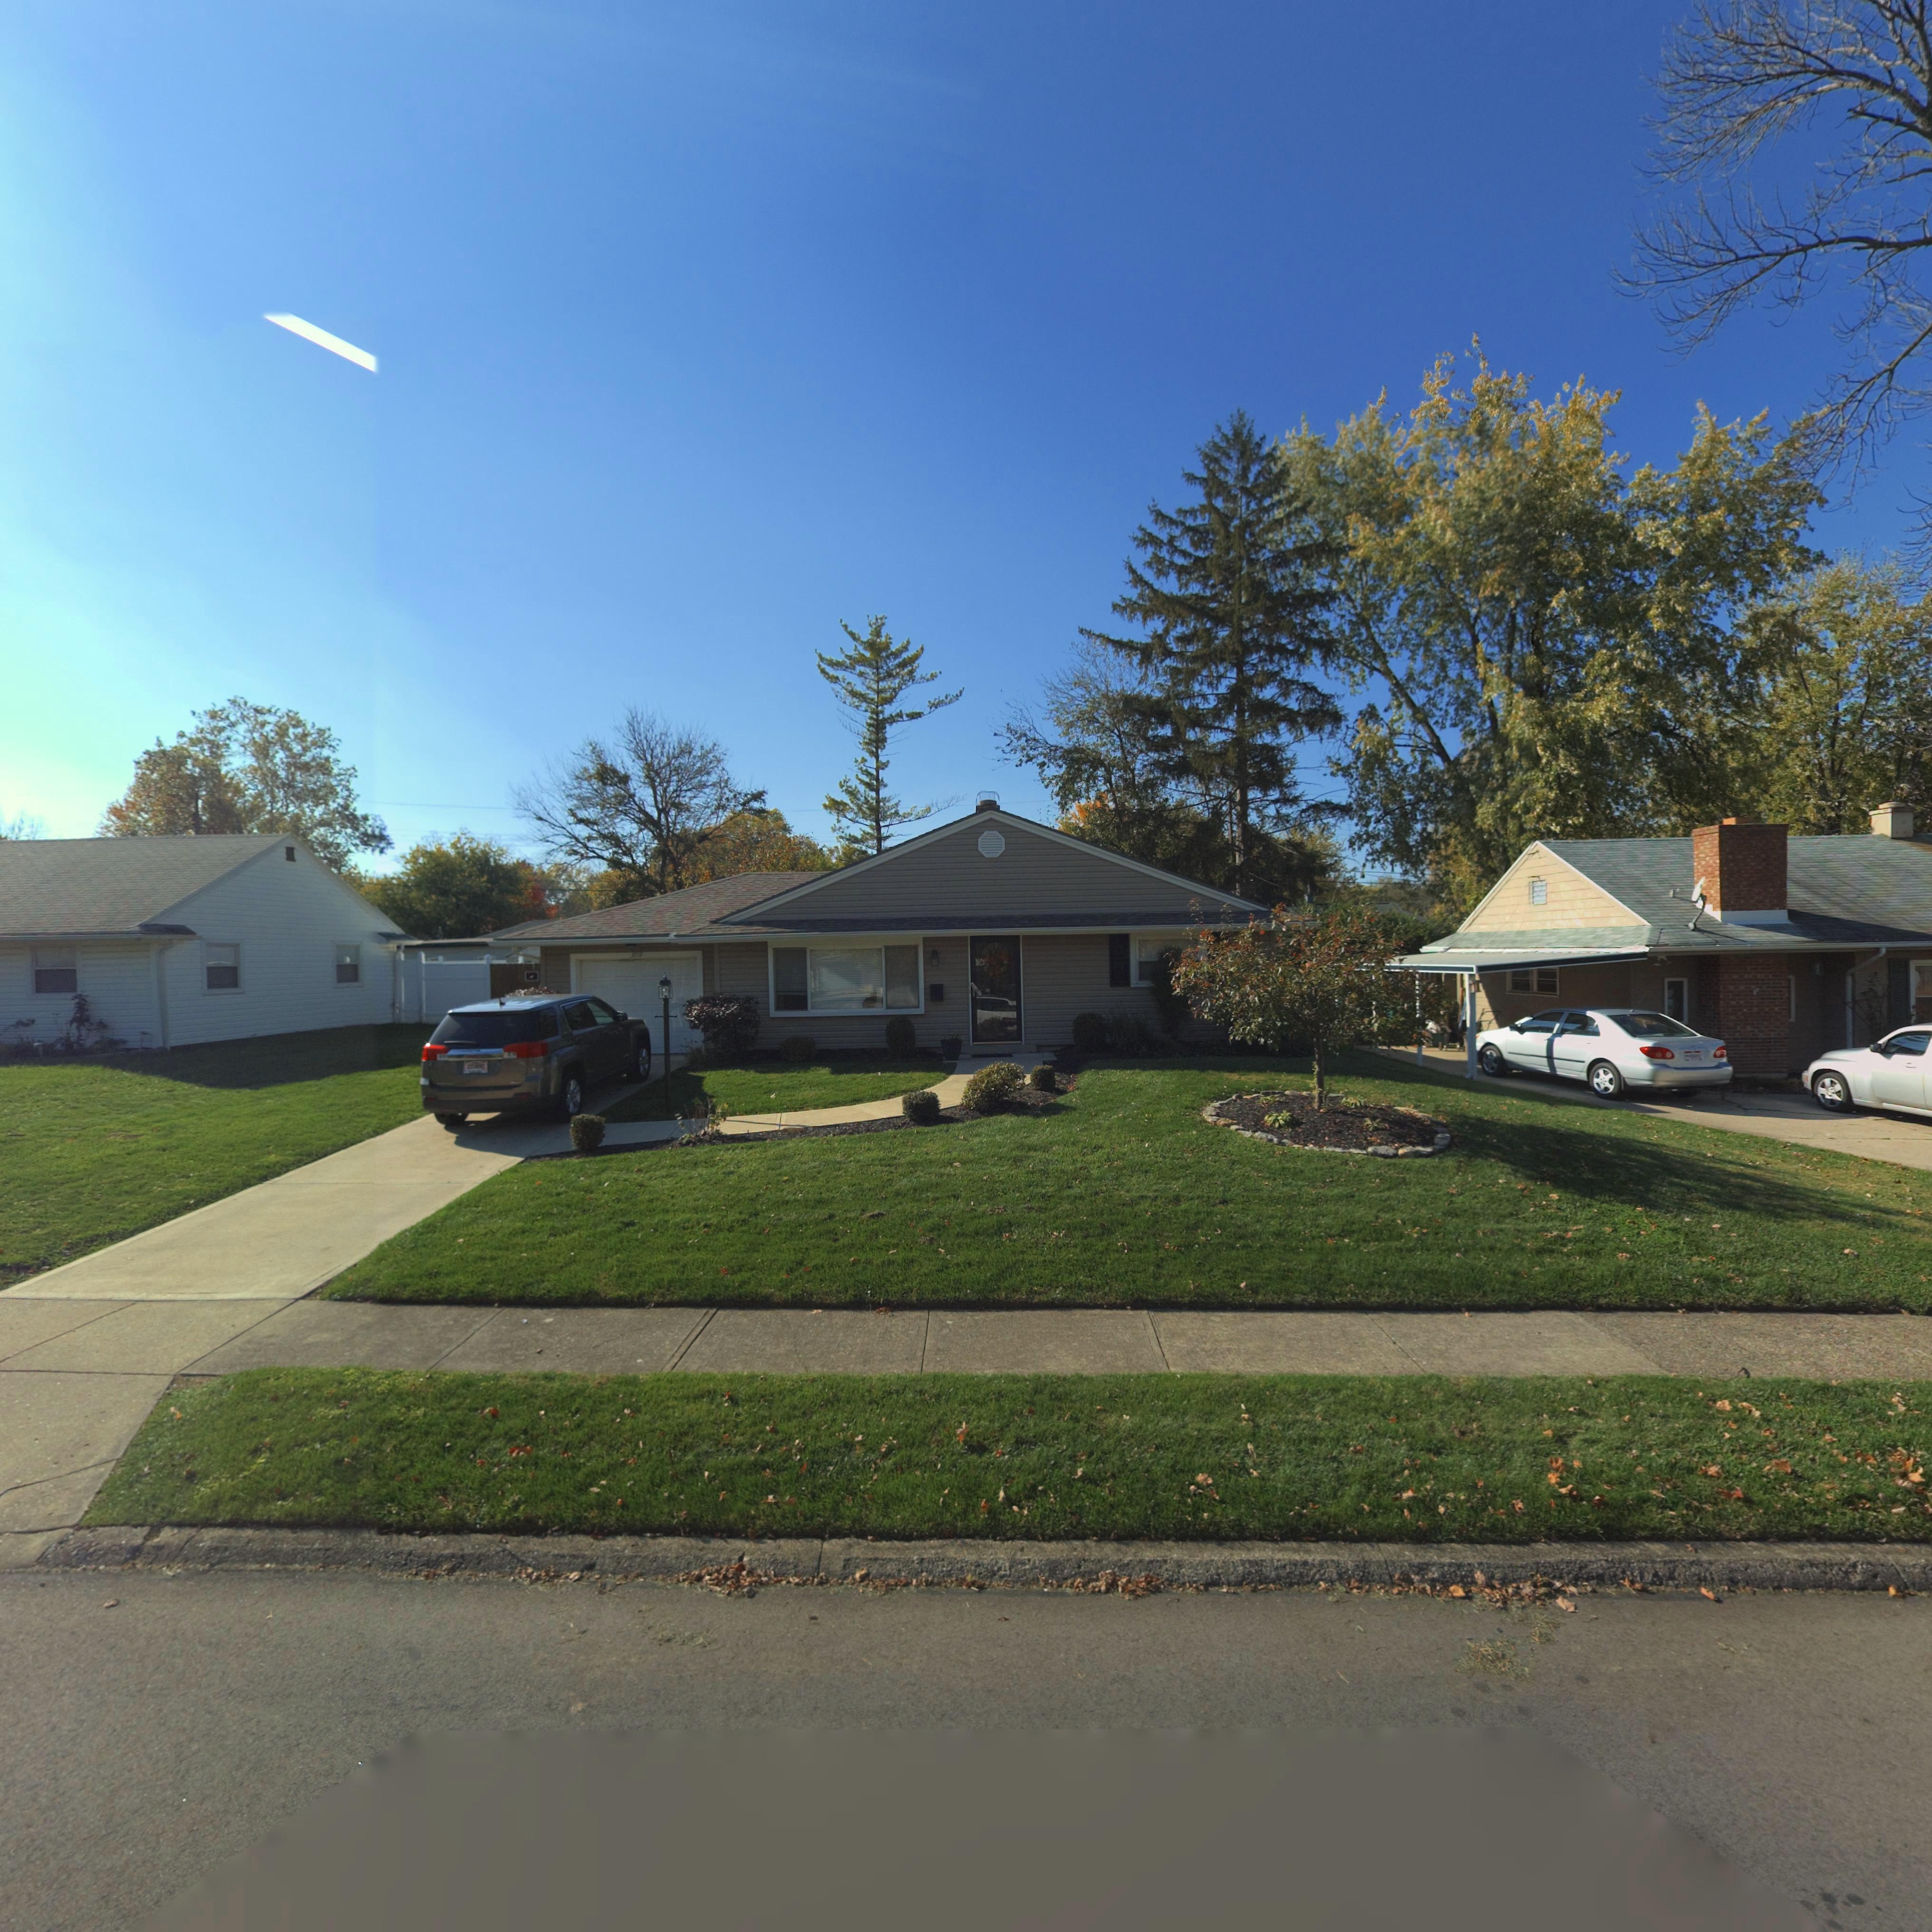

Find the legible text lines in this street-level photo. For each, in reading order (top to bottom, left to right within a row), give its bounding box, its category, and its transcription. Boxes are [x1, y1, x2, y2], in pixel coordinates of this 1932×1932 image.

[630, 952, 644, 958] StreetNumber: 3719